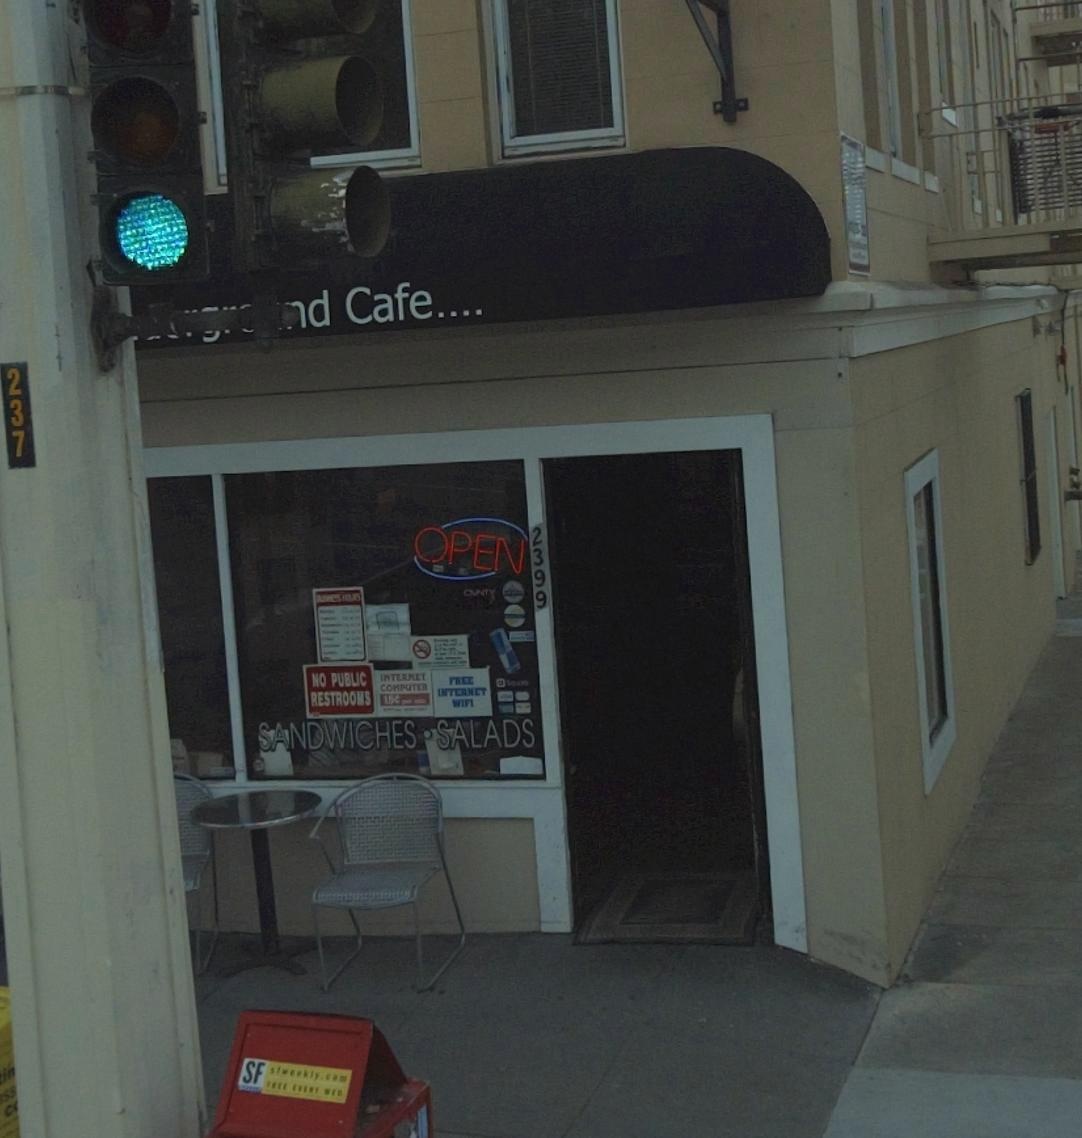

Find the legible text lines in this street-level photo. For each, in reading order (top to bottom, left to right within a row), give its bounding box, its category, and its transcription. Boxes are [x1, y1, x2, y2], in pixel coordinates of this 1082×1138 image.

[305, 278, 436, 332] BusinessName: d Cafe
[3, 366, 31, 462] None: 237
[412, 525, 527, 576] None: OPEN
[528, 521, 550, 612] StreetNumber: 2399
[460, 587, 476, 599] None: O
[310, 669, 369, 691] None: NO PUBLIC
[377, 670, 429, 684] None: INTERNET
[378, 680, 431, 693] None: COMPUT**
[447, 673, 477, 688] None: *REE
[307, 688, 374, 709] None: RESTROOMS
[380, 692, 398, 708] None: 15
[448, 697, 476, 710] None: WI*I
[256, 716, 538, 753] None: SANDWICHES * SALADS
[239, 1057, 269, 1088] None: SF